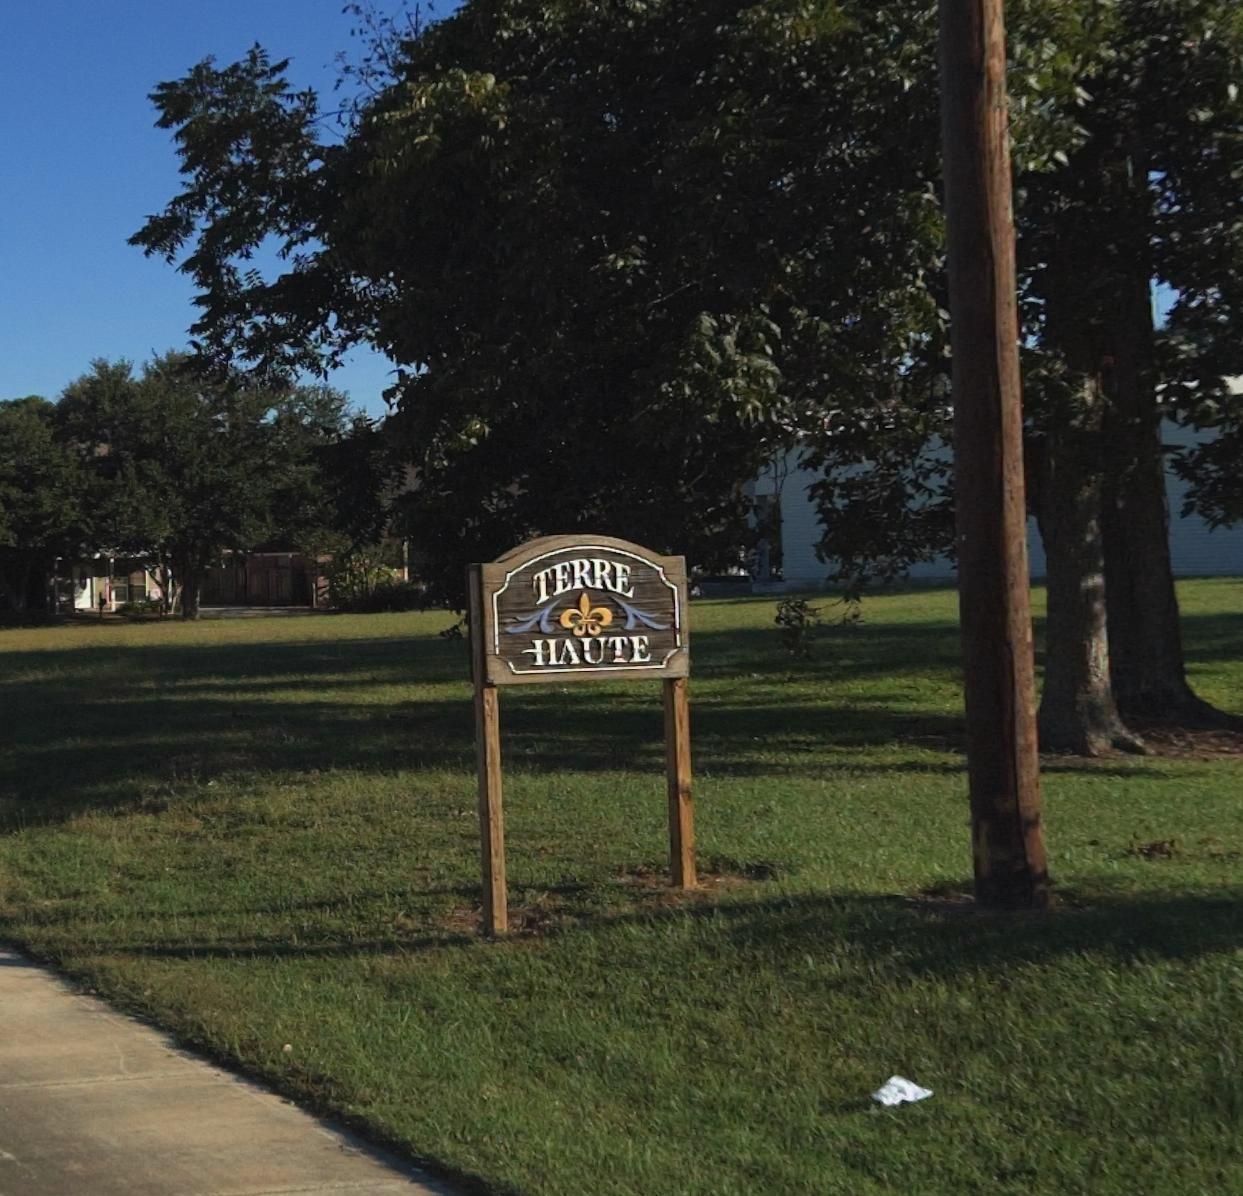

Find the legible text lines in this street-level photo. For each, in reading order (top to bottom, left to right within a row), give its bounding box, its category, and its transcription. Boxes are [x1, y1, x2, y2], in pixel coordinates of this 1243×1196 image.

[532, 558, 636, 606] BusinessName: TERRE
[521, 635, 653, 668] BusinessName: HAUTE